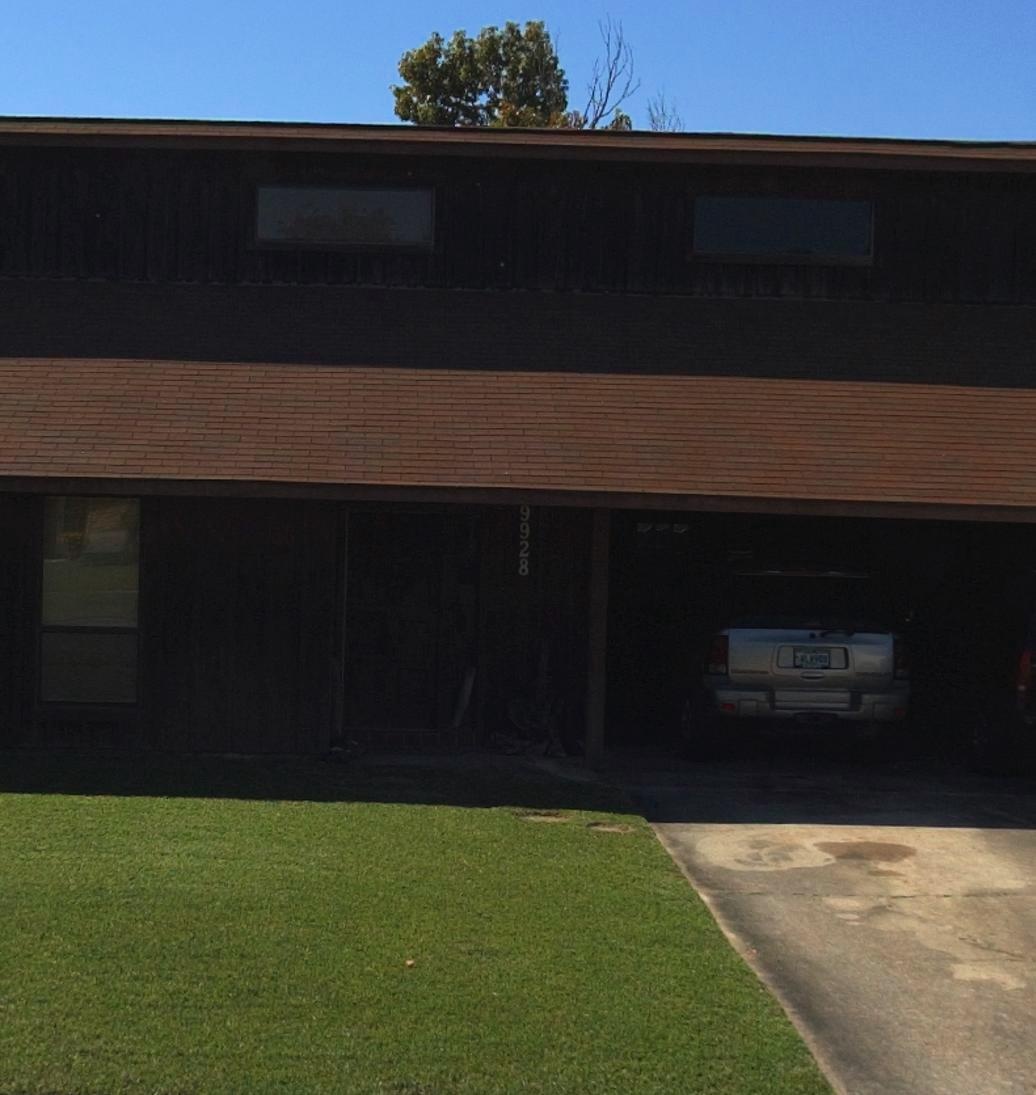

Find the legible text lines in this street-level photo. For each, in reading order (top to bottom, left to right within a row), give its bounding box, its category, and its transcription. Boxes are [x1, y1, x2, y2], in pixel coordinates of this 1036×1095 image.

[516, 503, 532, 576] StreetNumber: 9928
[796, 654, 828, 664] None: J*N*949